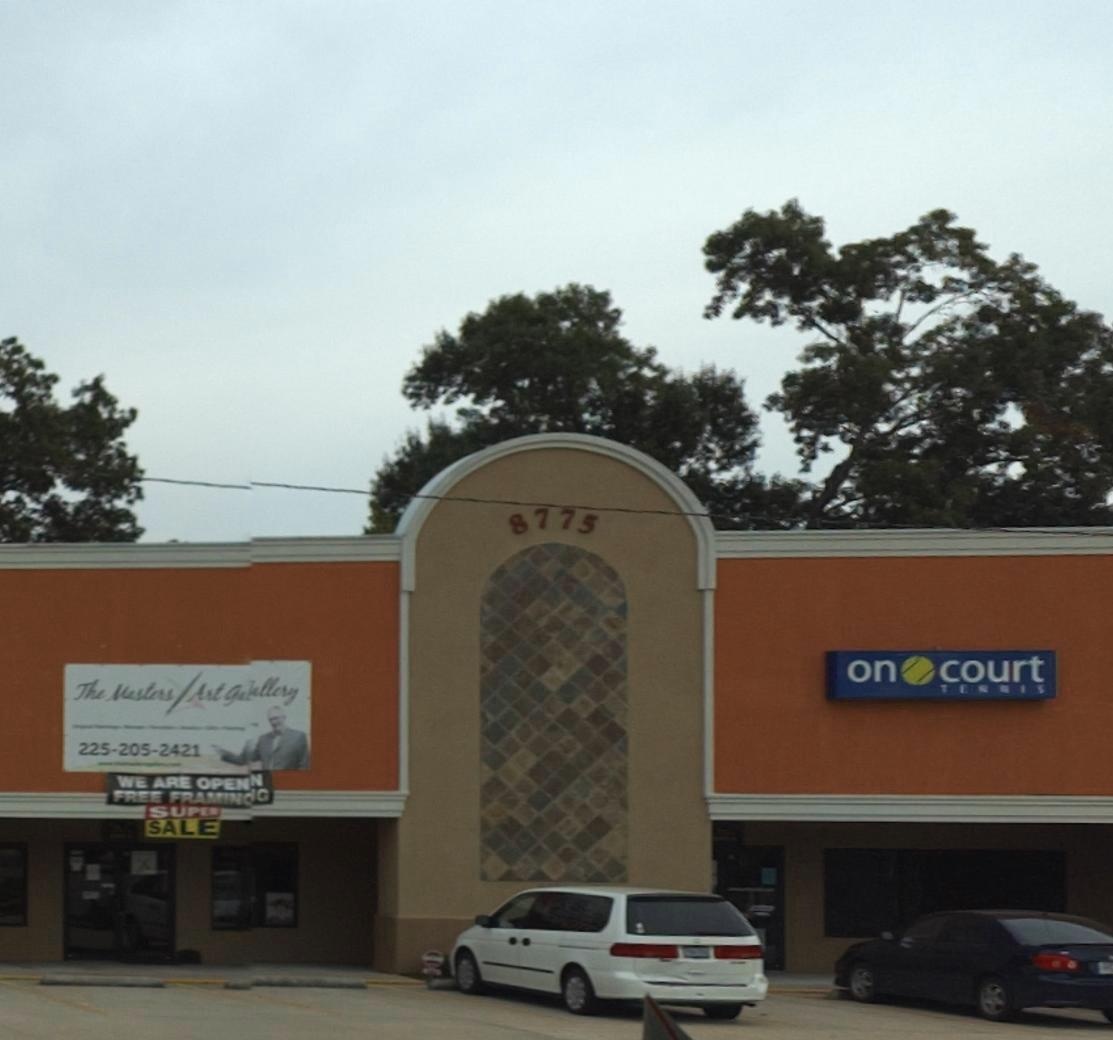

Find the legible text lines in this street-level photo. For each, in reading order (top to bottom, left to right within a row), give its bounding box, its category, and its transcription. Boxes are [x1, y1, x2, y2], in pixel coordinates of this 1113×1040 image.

[506, 506, 603, 538] StreetNumber: 8775
[845, 655, 1046, 683] BusinessName: on*court
[72, 677, 175, 703] None: The M*****
[184, 681, 249, 709] None: Art ga
[253, 674, 302, 708] None: allery
[938, 683, 1047, 694] BusinessName: TENNIS
[76, 741, 204, 758] None: 225-205-2421
[115, 775, 250, 791] None: WE ARE OPEN
[250, 772, 263, 787] None: N
[112, 789, 242, 807] None: FREE FRAMIN
[257, 787, 269, 803] None: G
[148, 805, 218, 818] None: SUPER
[147, 818, 219, 836] None: SALE